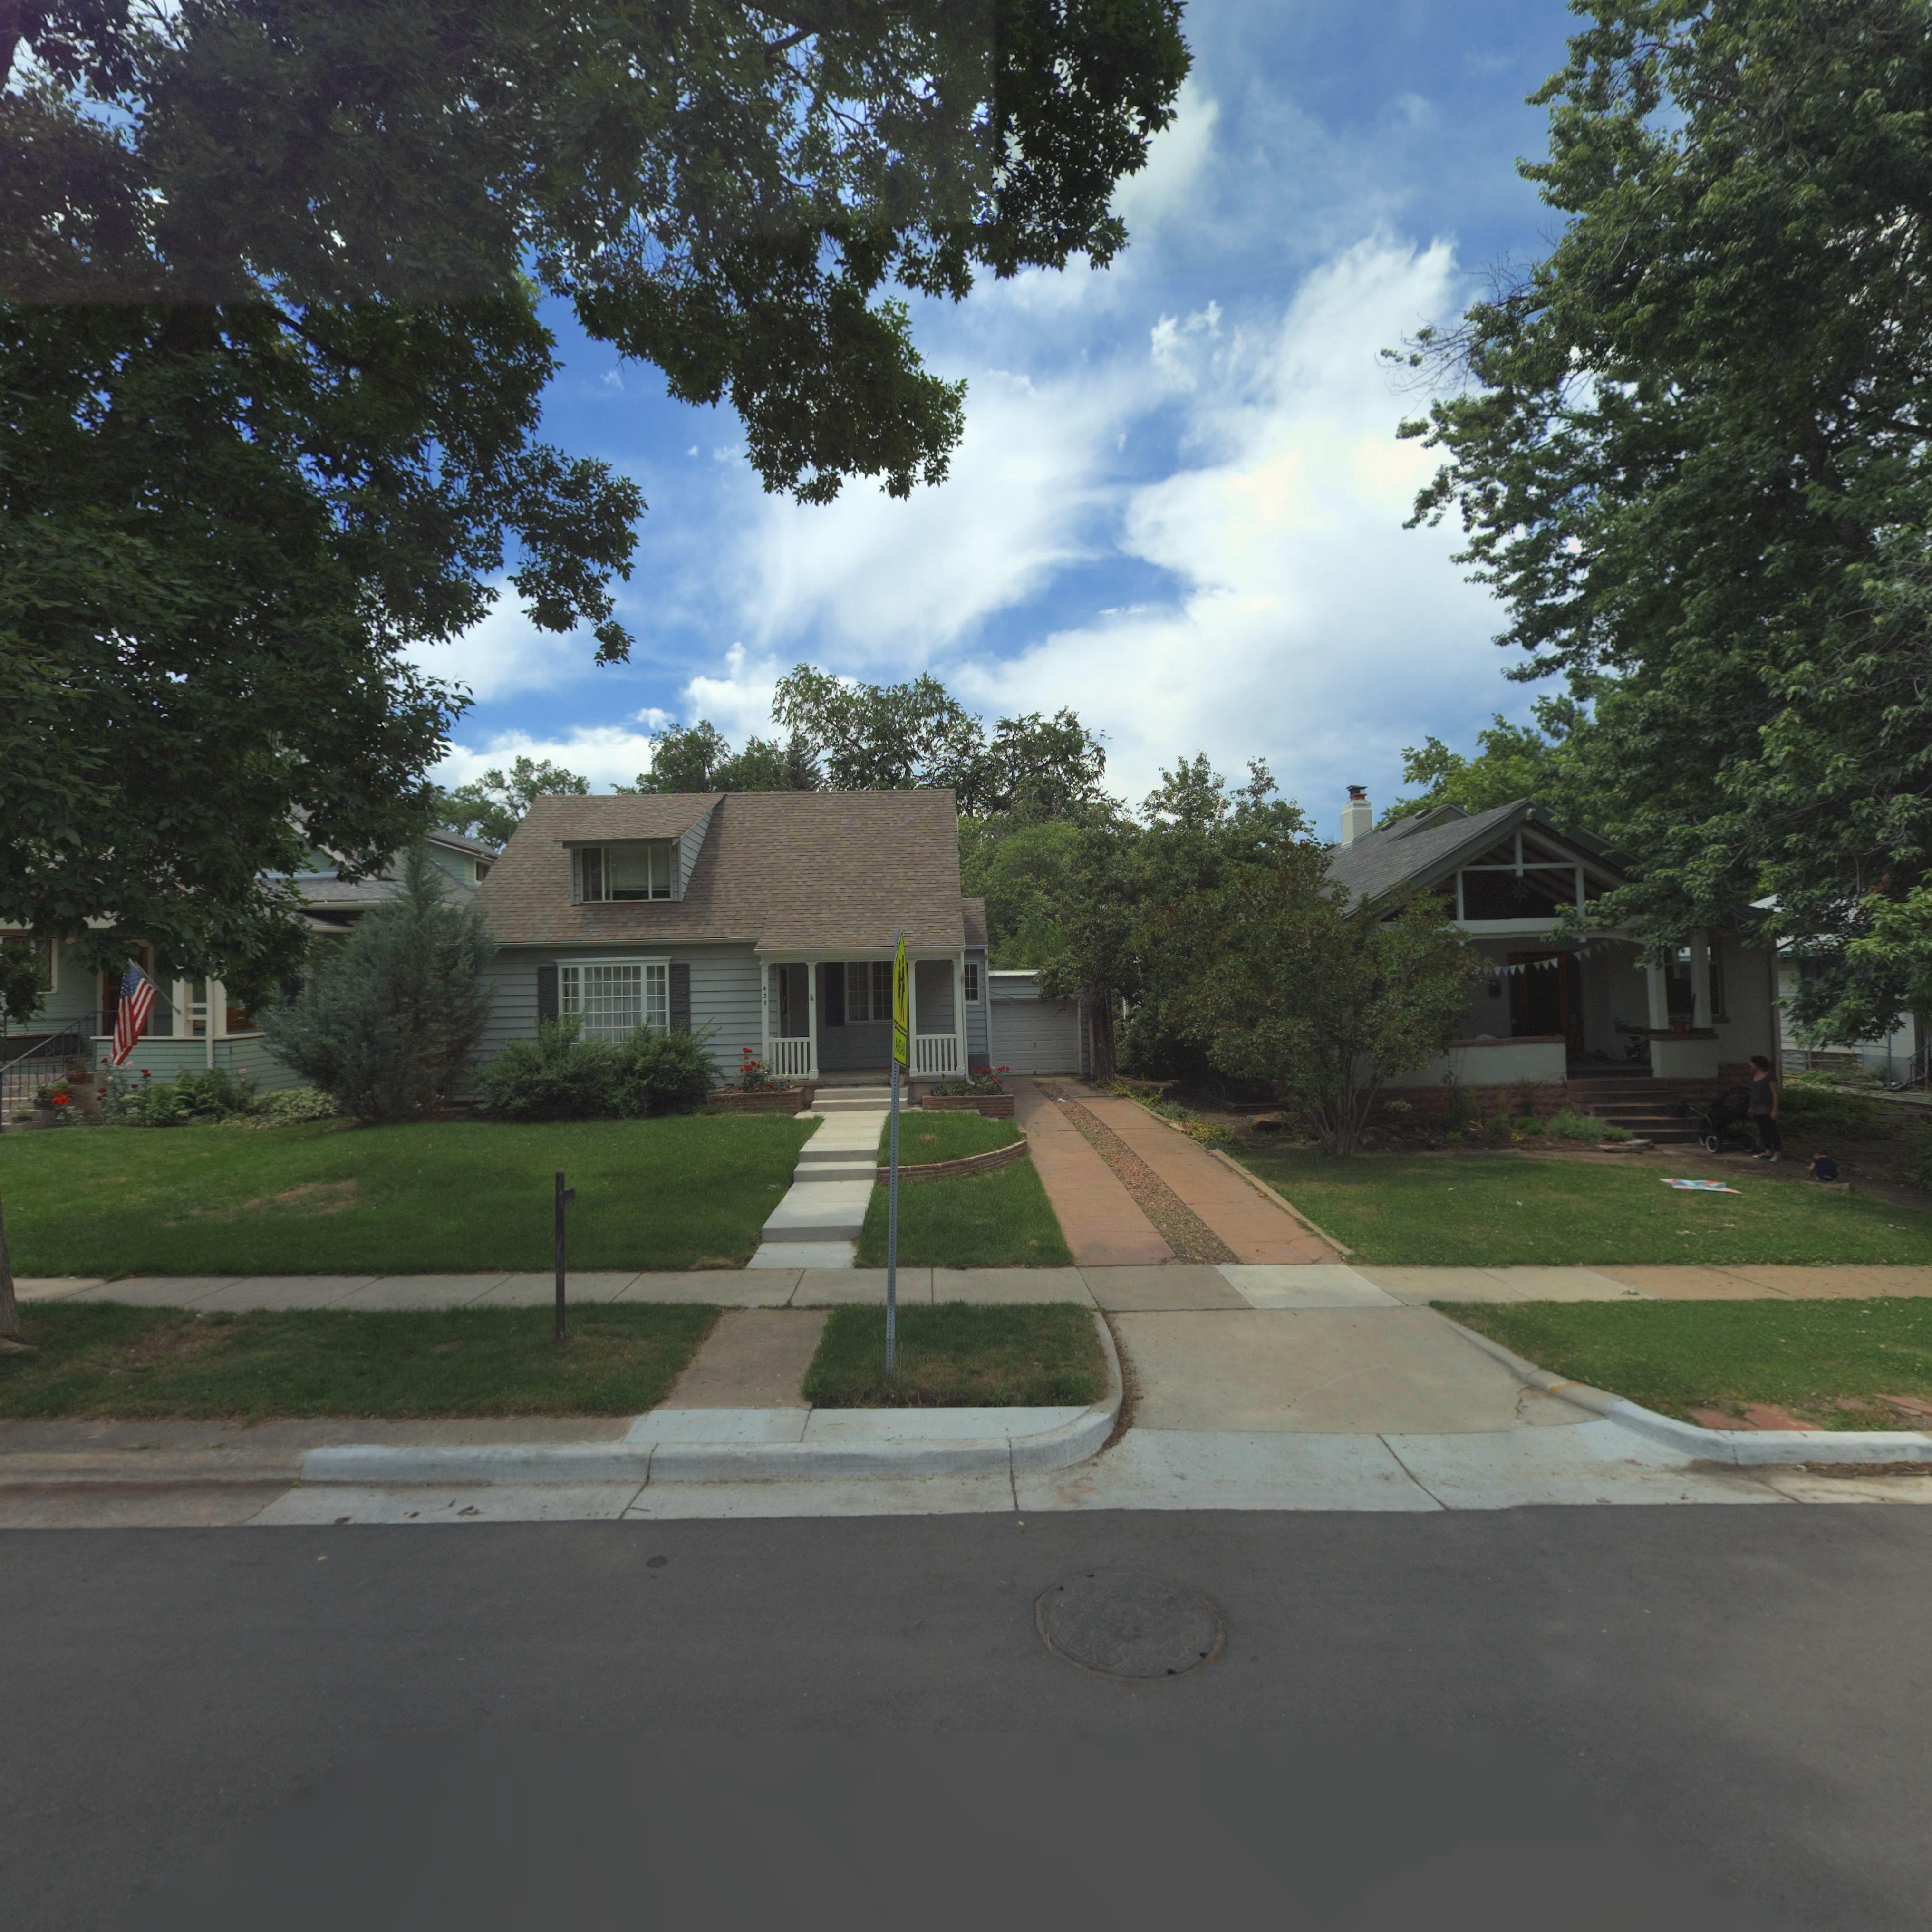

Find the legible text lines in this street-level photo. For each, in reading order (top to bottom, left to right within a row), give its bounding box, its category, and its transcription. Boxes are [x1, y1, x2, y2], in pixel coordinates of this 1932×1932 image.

[1655, 961, 1662, 970] StreetNumber: 9
[762, 985, 767, 1006] StreetNumber: 435